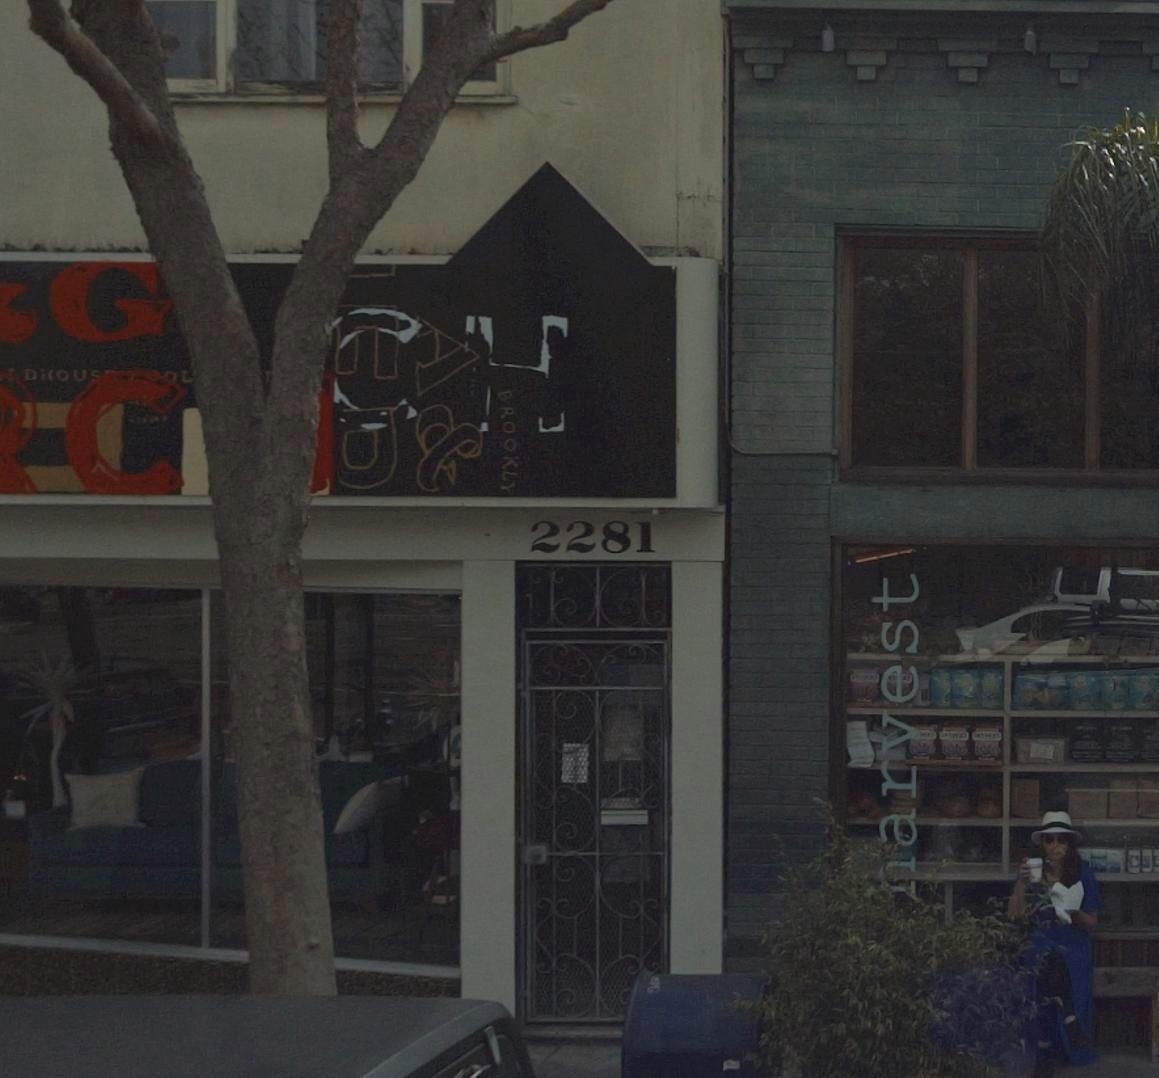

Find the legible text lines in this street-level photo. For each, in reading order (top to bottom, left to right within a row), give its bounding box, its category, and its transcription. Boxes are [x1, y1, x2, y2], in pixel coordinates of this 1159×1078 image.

[22, 365, 89, 385] None: Dilou
[412, 311, 482, 401] None: A
[58, 363, 192, 502] None: C
[494, 384, 524, 498] None: BROOKLY
[527, 518, 659, 556] StreetNumber: 2281
[867, 563, 926, 852] BusinessName: arvest